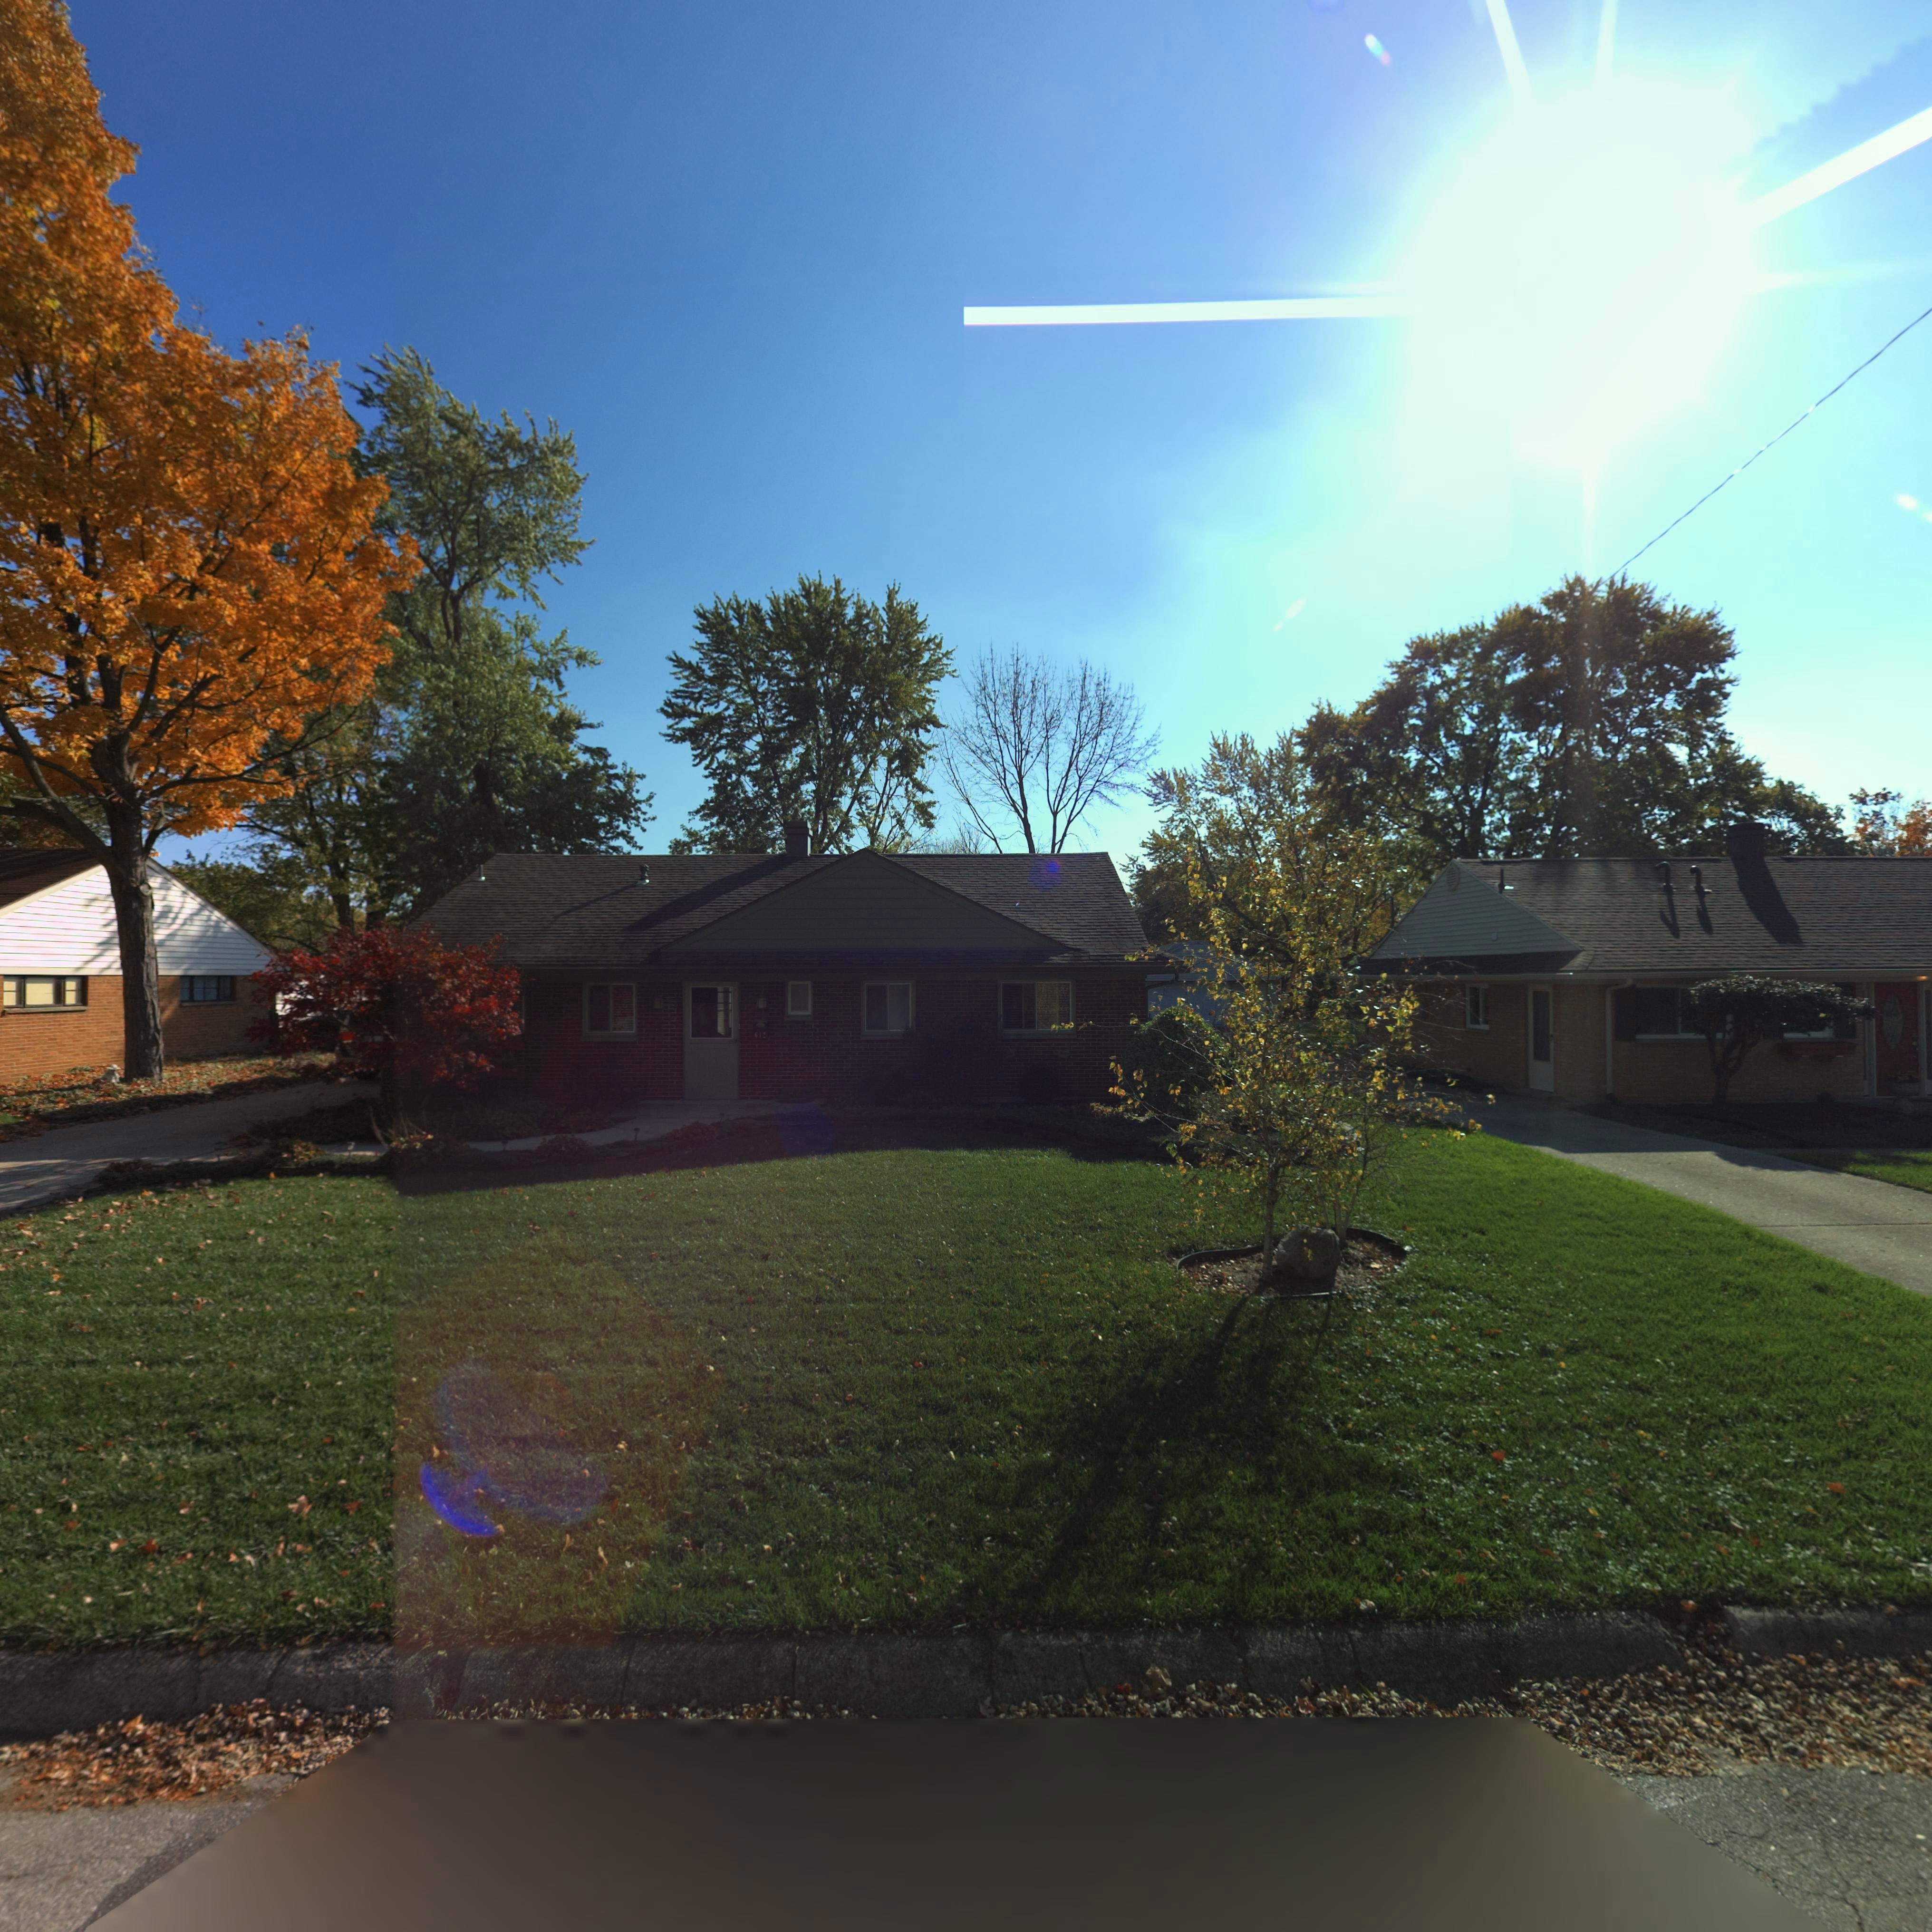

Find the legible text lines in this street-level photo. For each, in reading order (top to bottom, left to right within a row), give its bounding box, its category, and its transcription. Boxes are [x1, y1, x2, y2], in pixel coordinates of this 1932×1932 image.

[753, 1032, 767, 1039] StreetNumber: 612